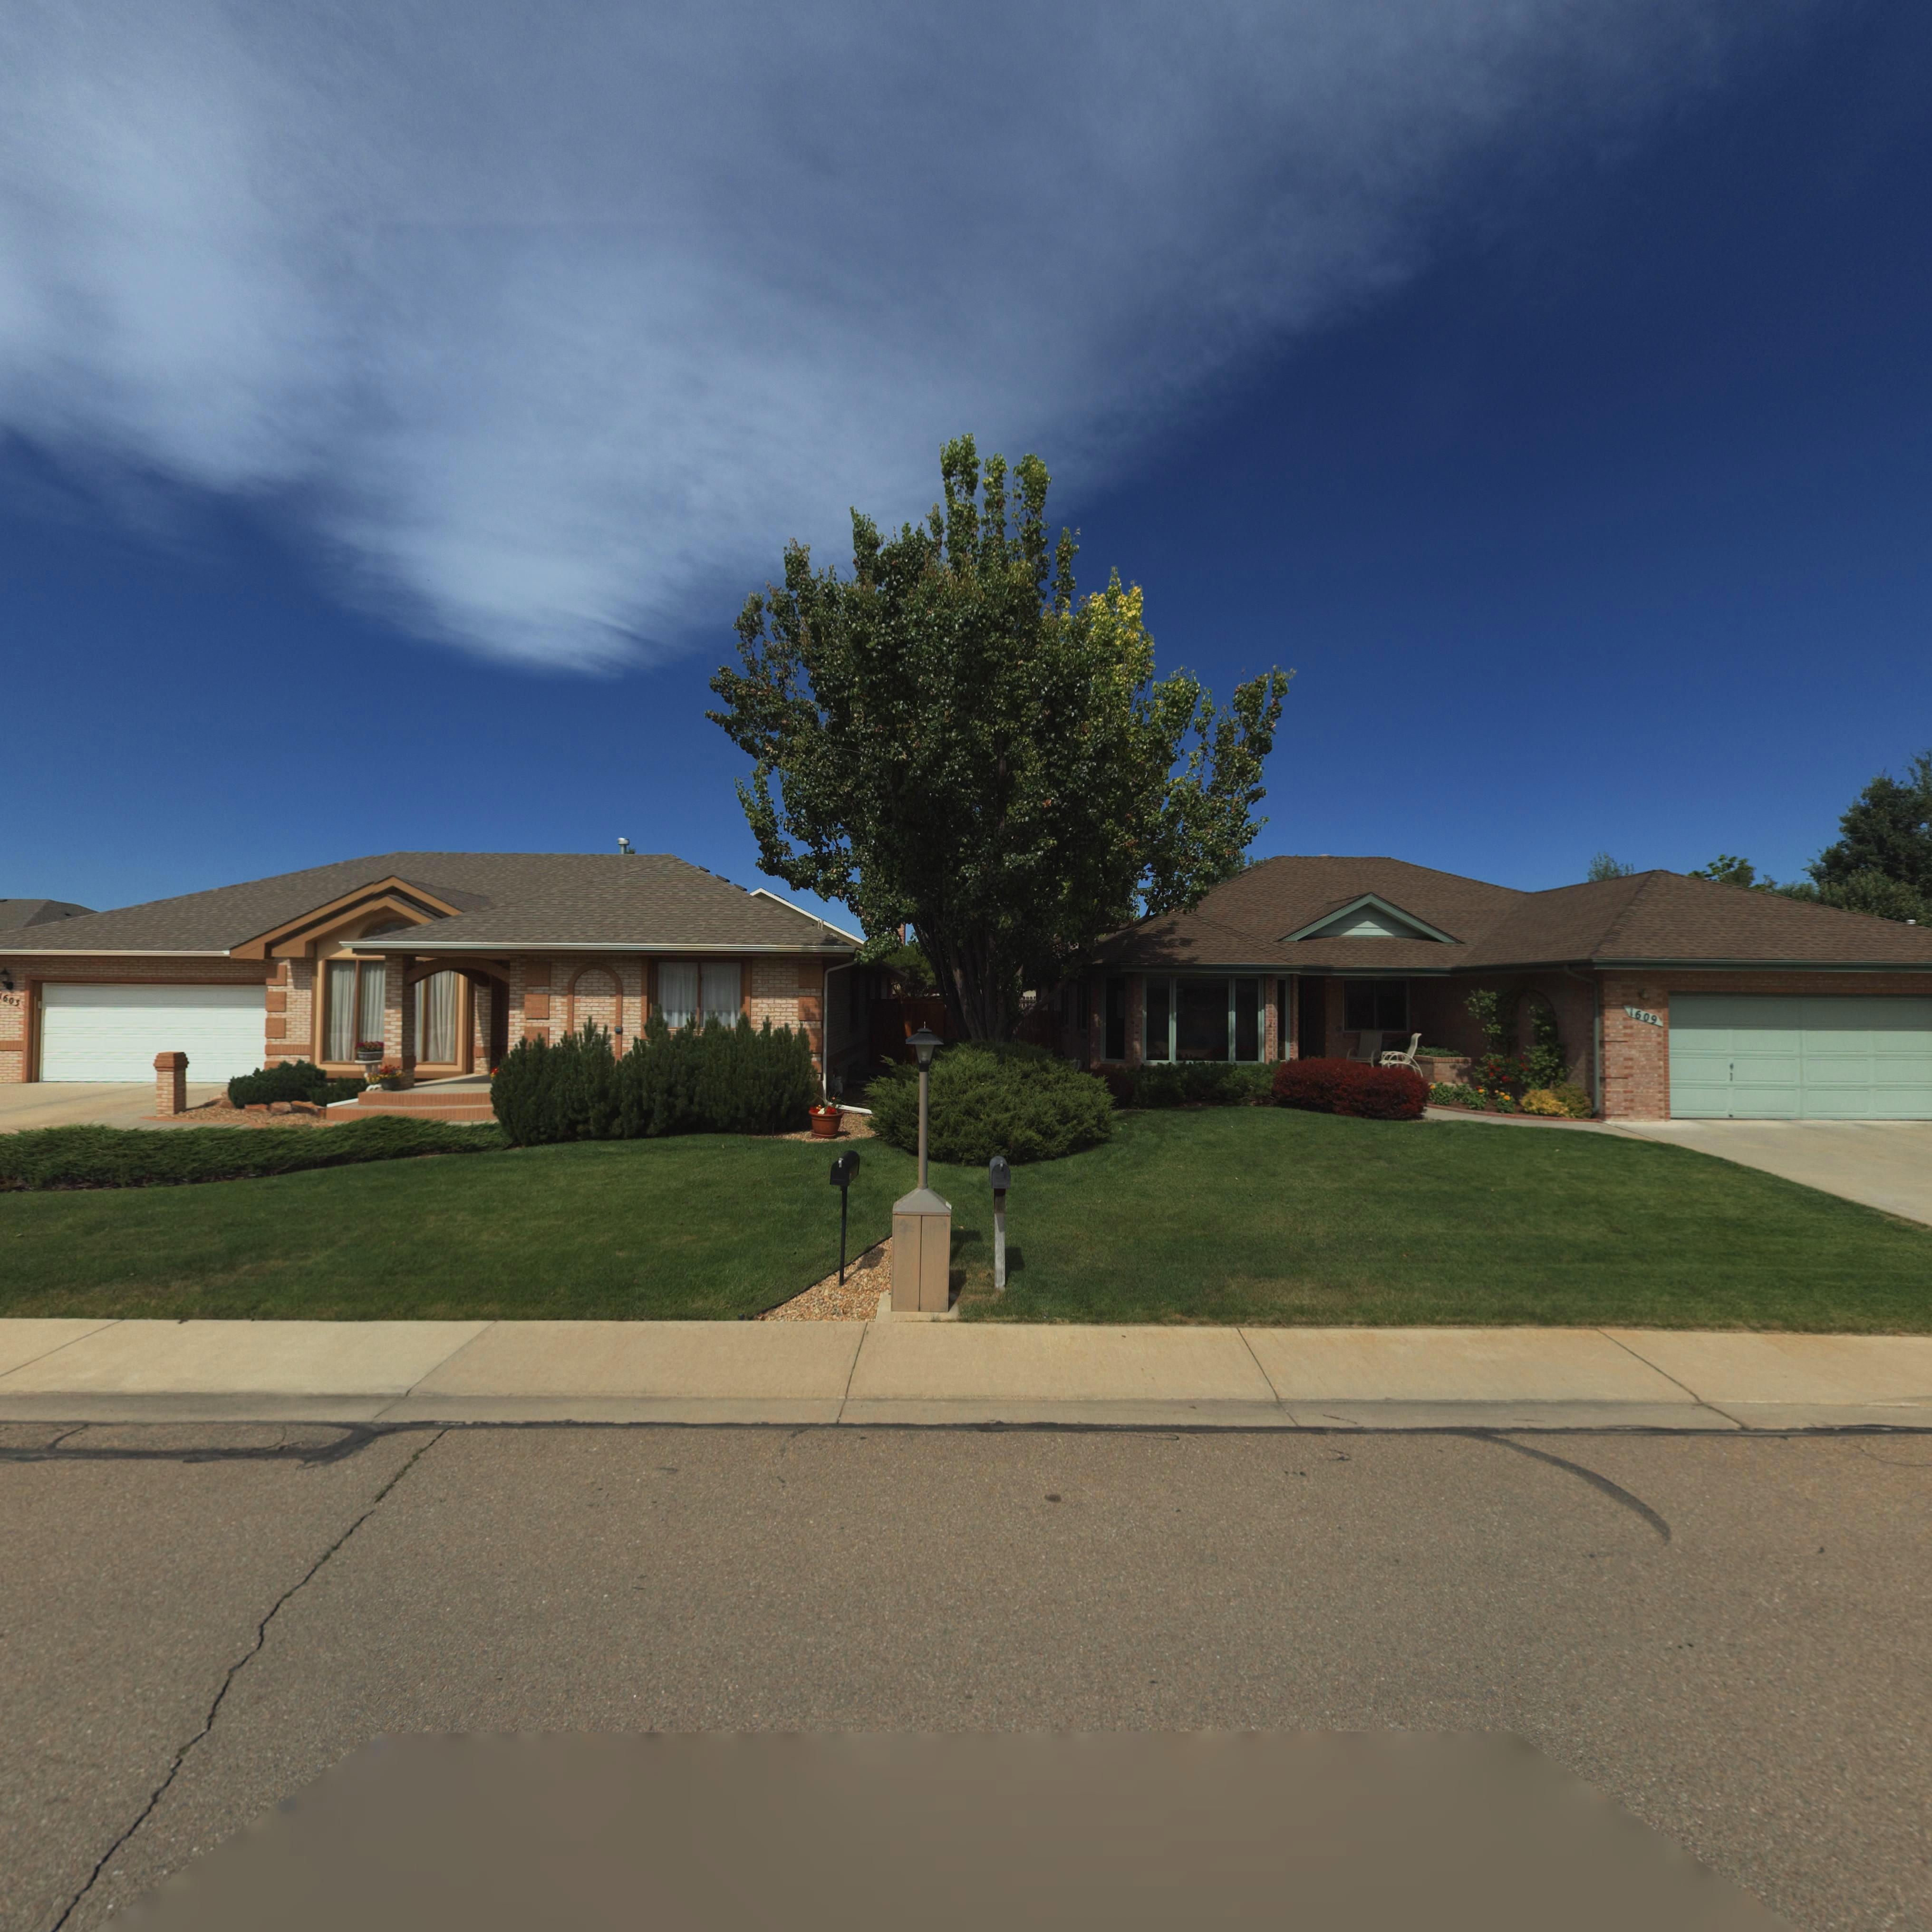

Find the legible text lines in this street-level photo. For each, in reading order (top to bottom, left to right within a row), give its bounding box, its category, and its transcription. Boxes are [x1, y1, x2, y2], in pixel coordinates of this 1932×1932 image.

[2, 994, 20, 1007] StreetNumber: 603
[1629, 1006, 1658, 1024] StreetNumber: 1609